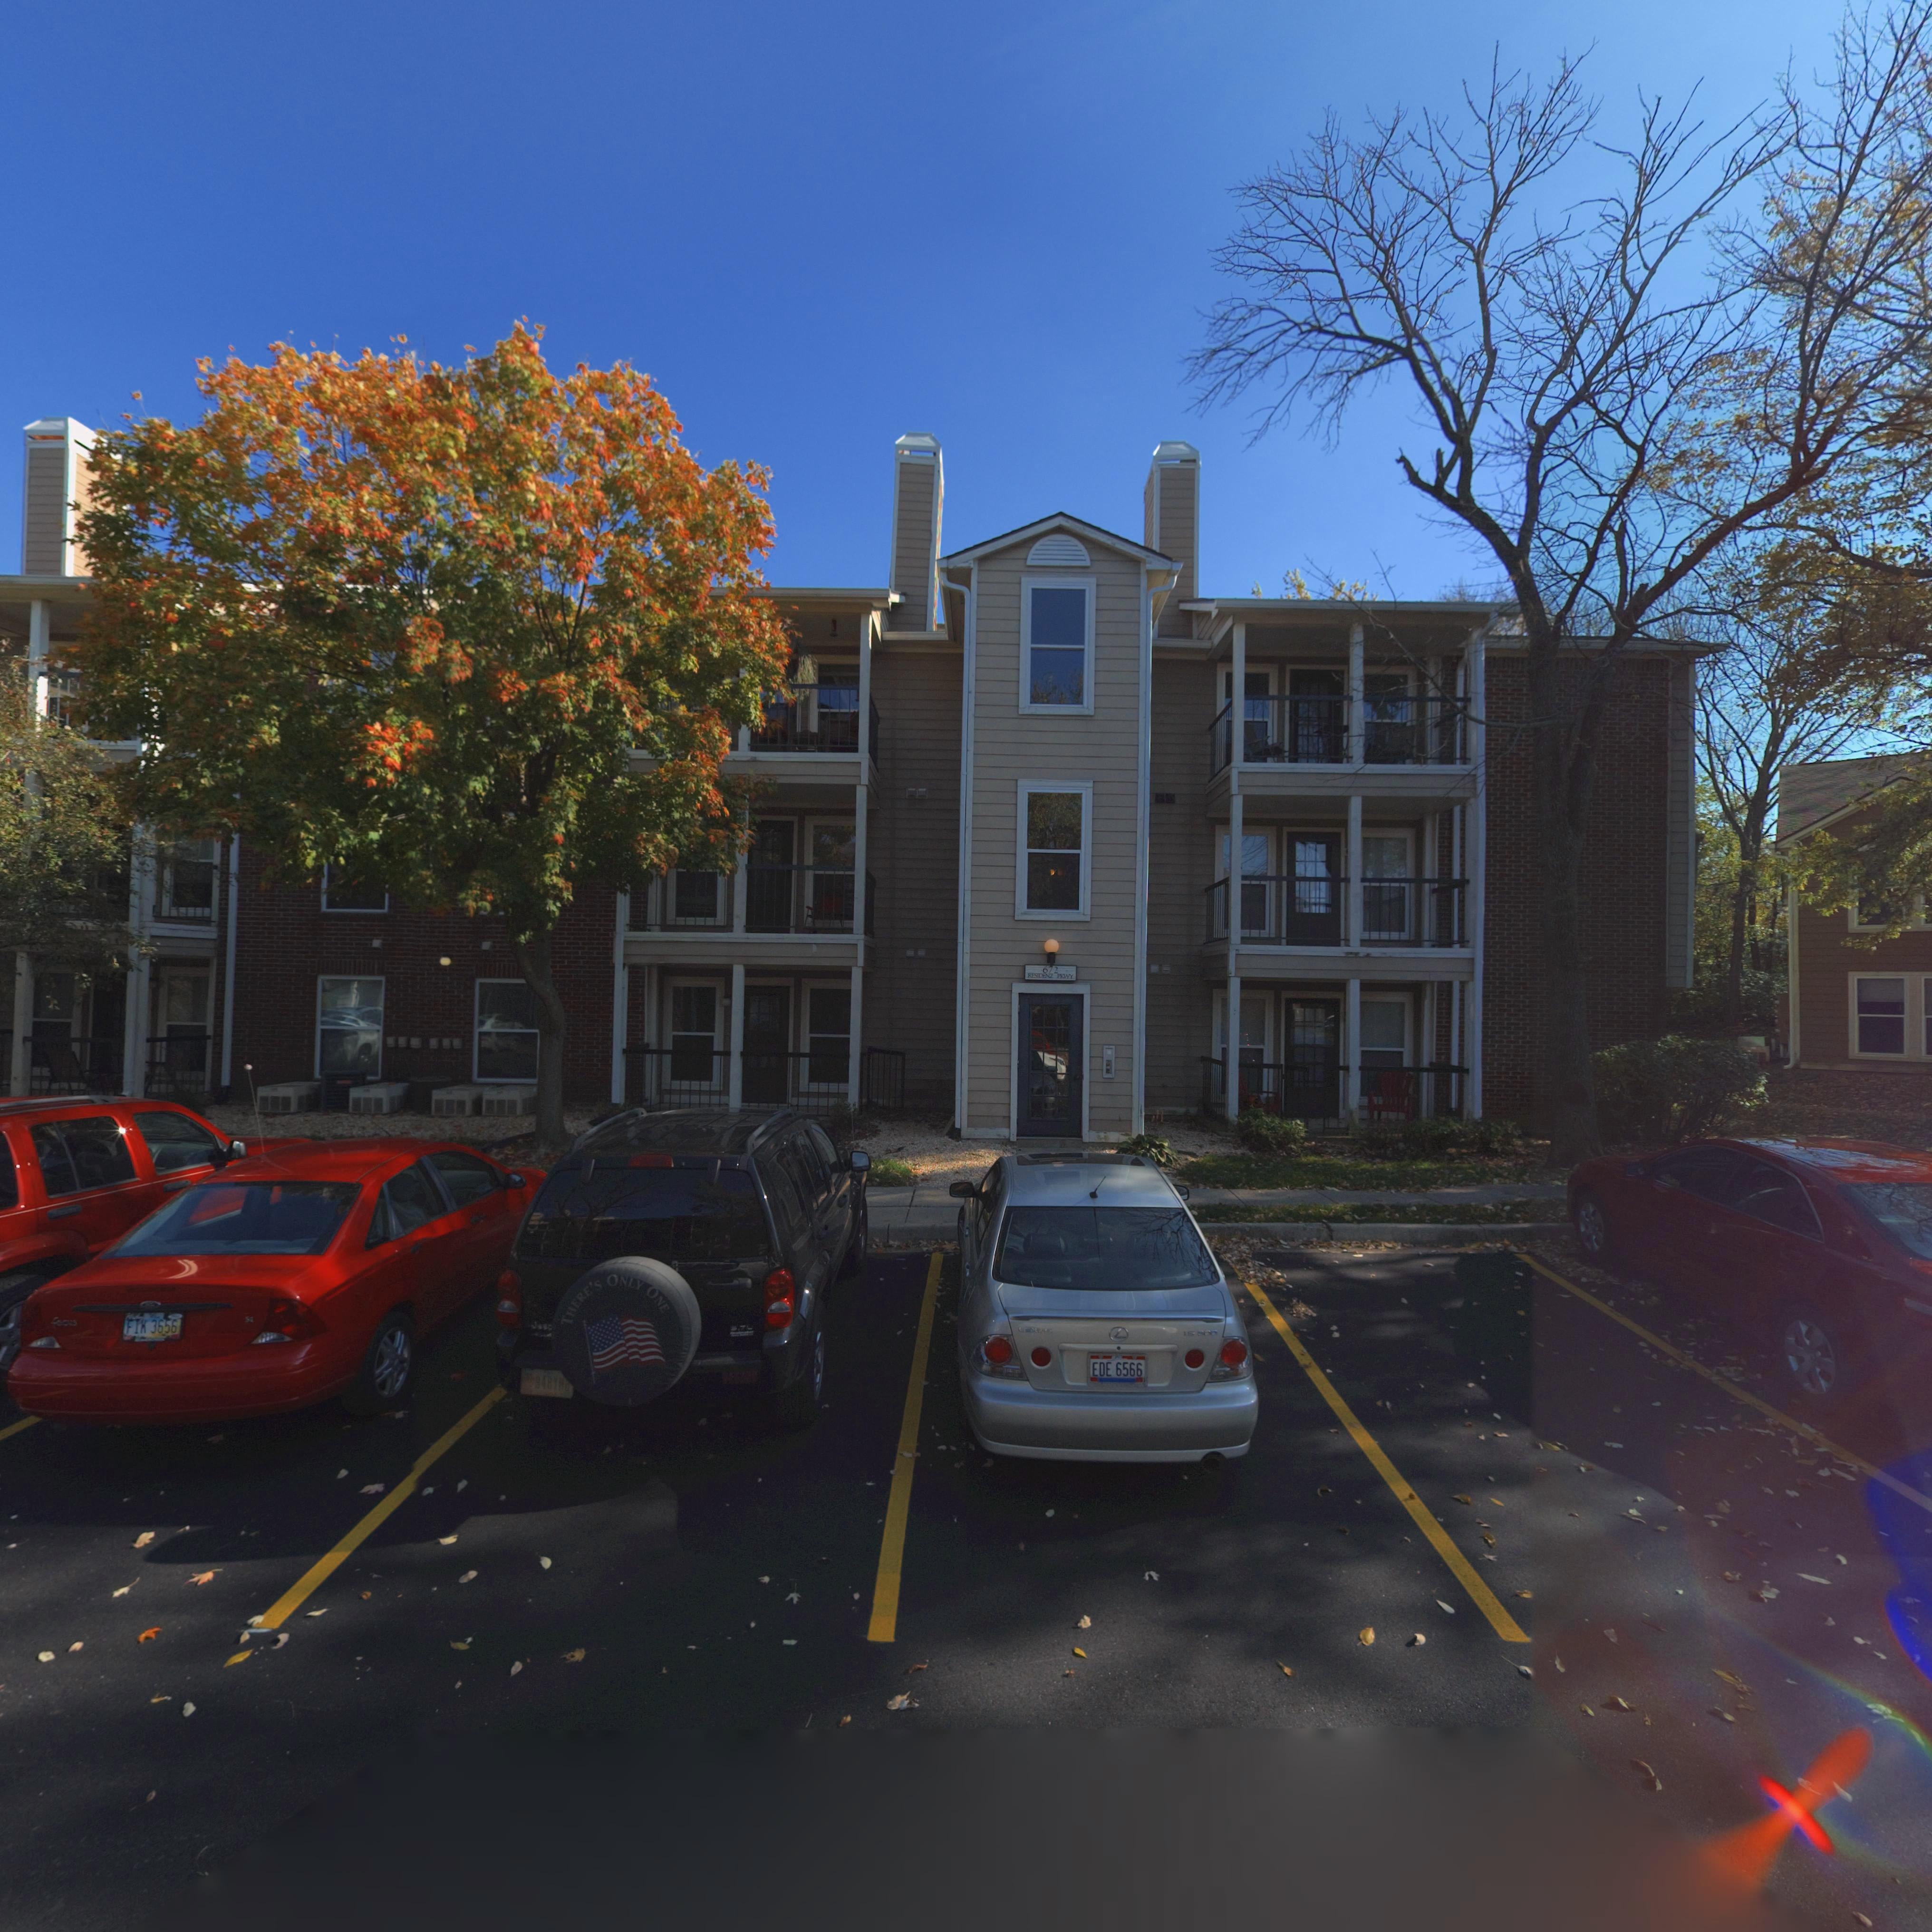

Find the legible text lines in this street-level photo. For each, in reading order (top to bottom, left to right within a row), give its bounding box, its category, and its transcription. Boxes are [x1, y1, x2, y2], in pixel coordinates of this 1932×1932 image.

[1042, 965, 1059, 975] StreetNumber: 672
[1027, 972, 1075, 980] StreetName: RES*DENZ PKWY
[560, 1273, 671, 1326] None: THERE'S ONLY ONE
[126, 1318, 178, 1335] None: FIK 3656
[1091, 1361, 1143, 1378] None: EDE 6566
[533, 1374, 553, 1392] None: 948